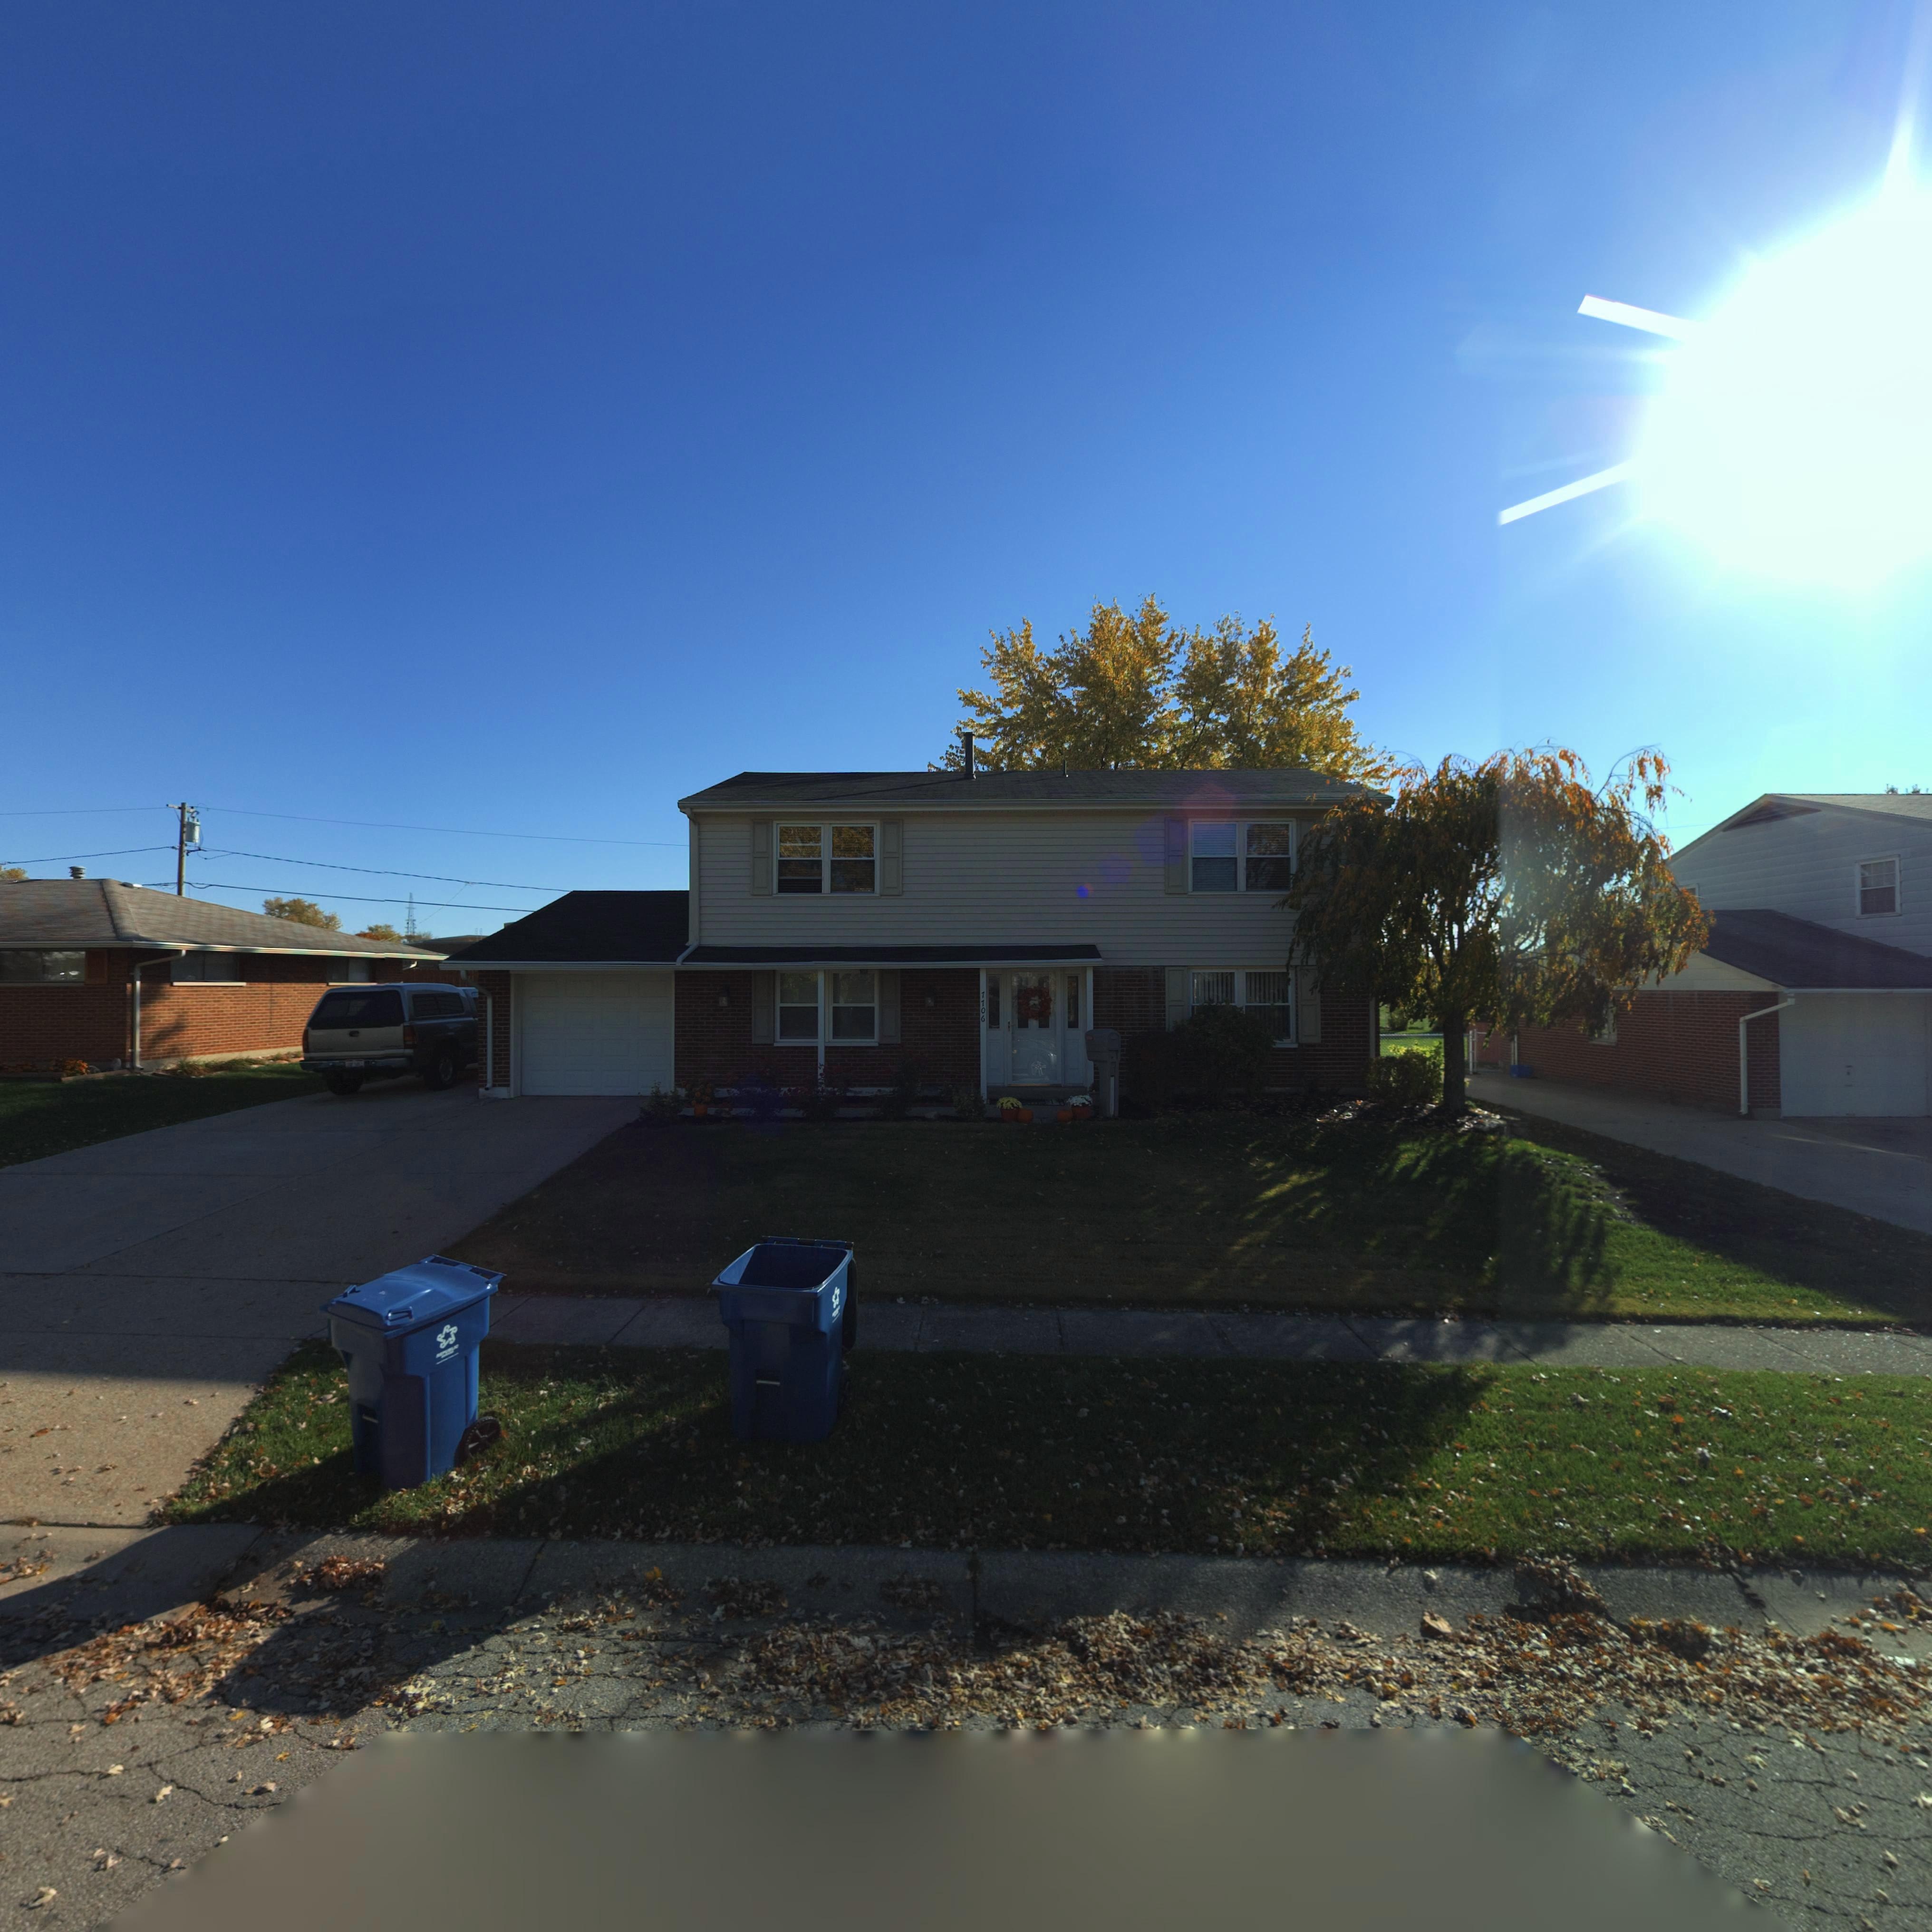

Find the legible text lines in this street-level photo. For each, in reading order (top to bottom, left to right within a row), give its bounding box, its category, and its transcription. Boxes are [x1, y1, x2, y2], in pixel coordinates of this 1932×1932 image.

[980, 990, 985, 1023] StreetNumber: 7706